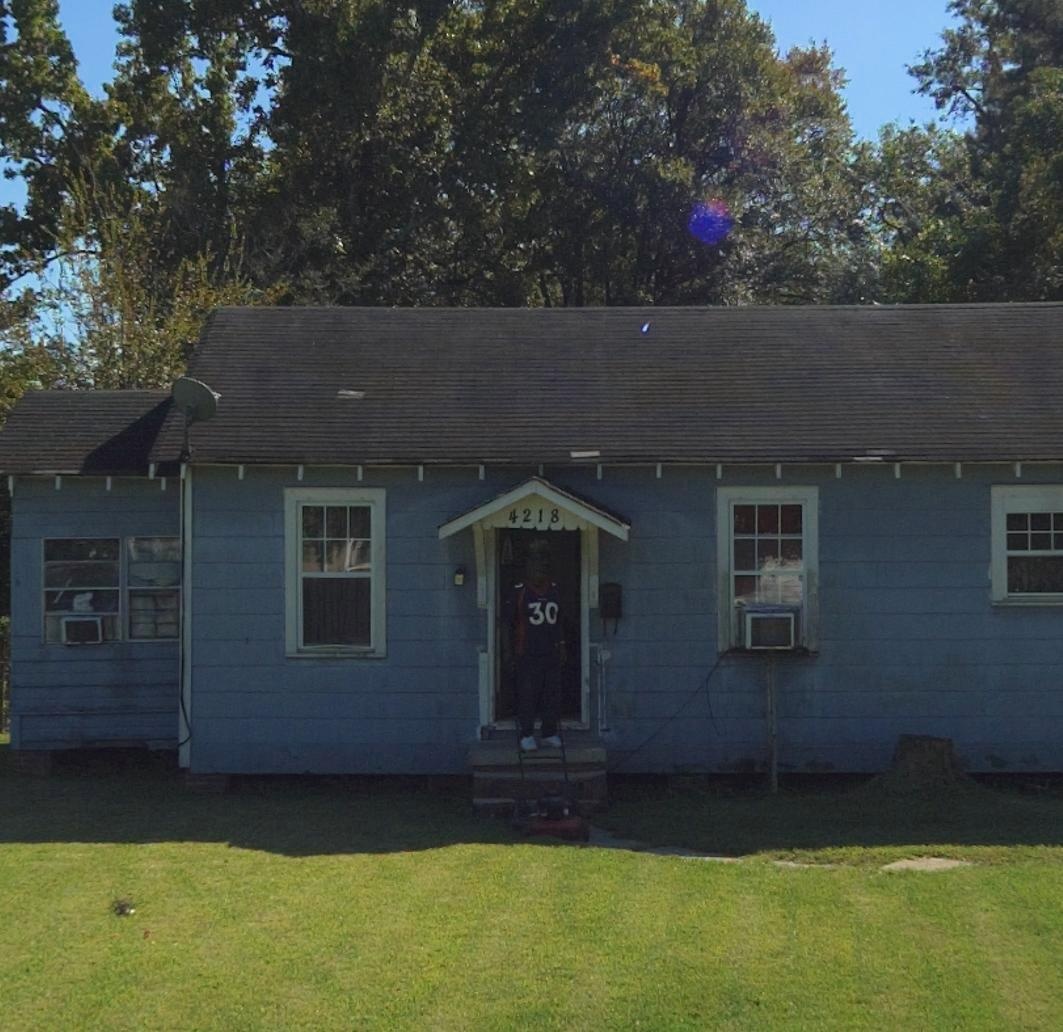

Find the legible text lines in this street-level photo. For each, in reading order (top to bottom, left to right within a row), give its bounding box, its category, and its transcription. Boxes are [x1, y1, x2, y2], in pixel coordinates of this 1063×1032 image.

[507, 506, 561, 525] StreetNumber: 4218
[526, 601, 559, 626] None: 30